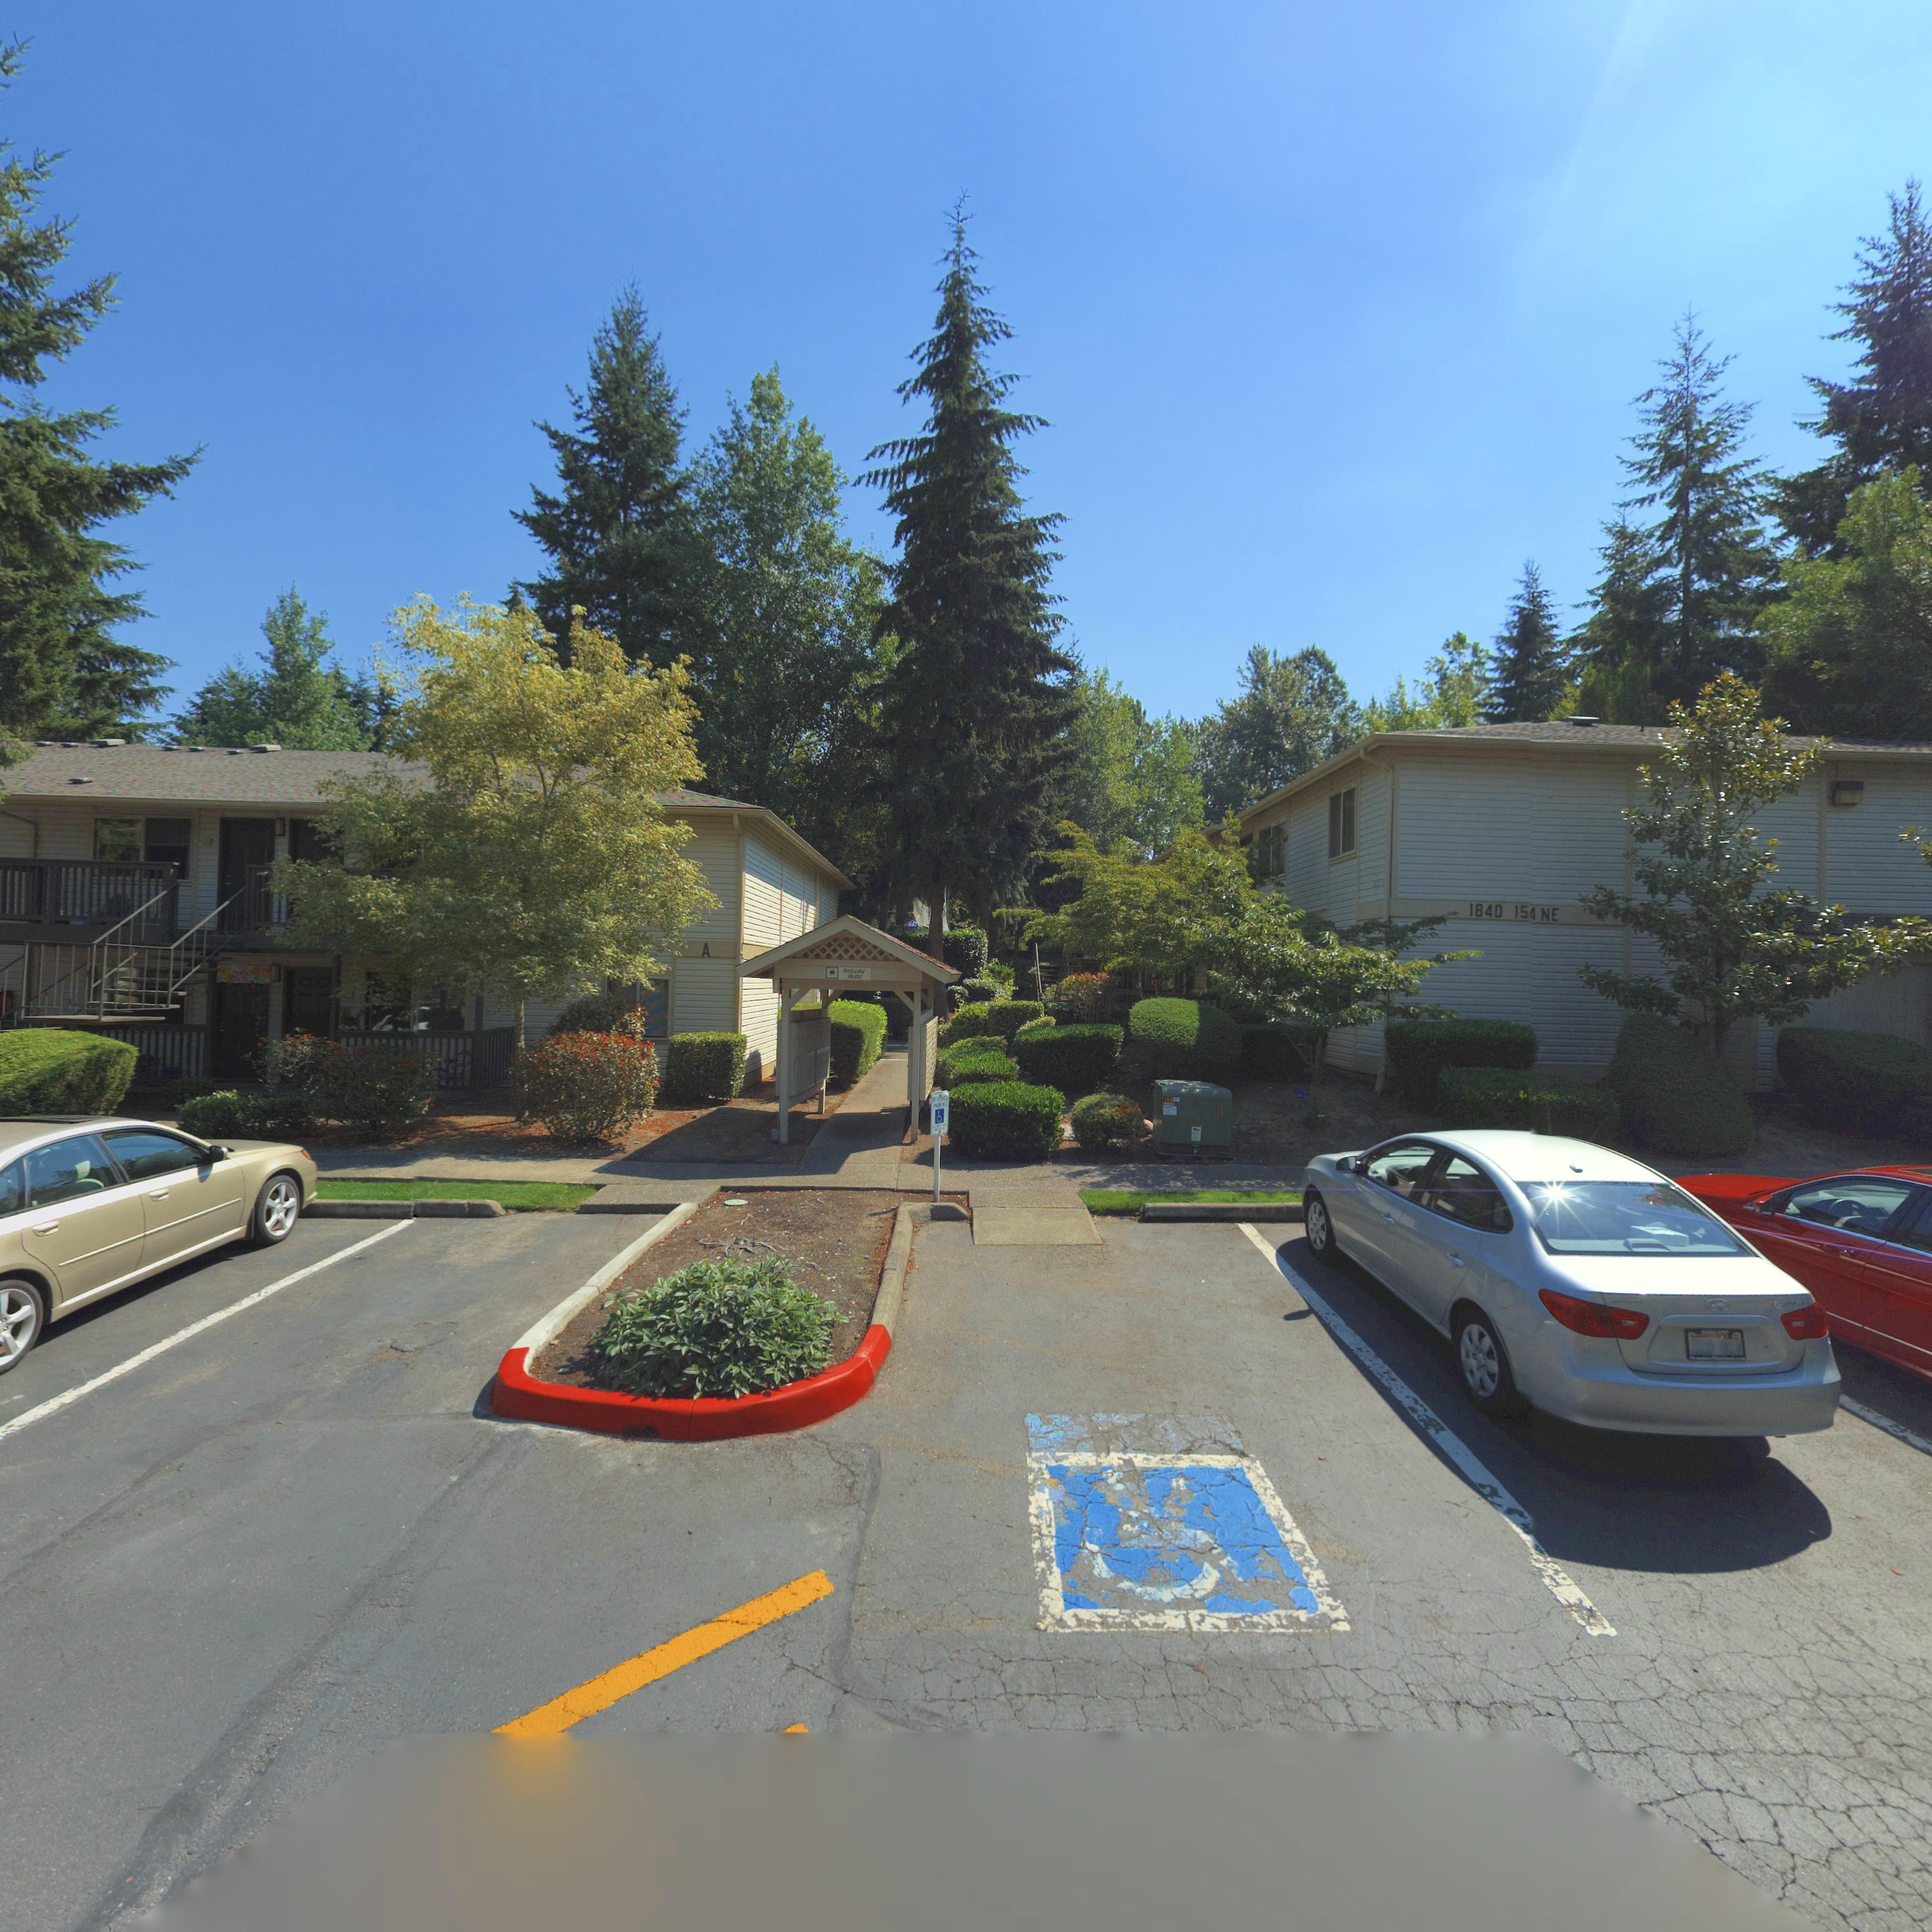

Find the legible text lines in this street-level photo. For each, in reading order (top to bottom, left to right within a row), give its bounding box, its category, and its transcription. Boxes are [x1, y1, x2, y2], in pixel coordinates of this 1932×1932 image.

[1469, 901, 1559, 922] StreetNumber: 1840 154 NE